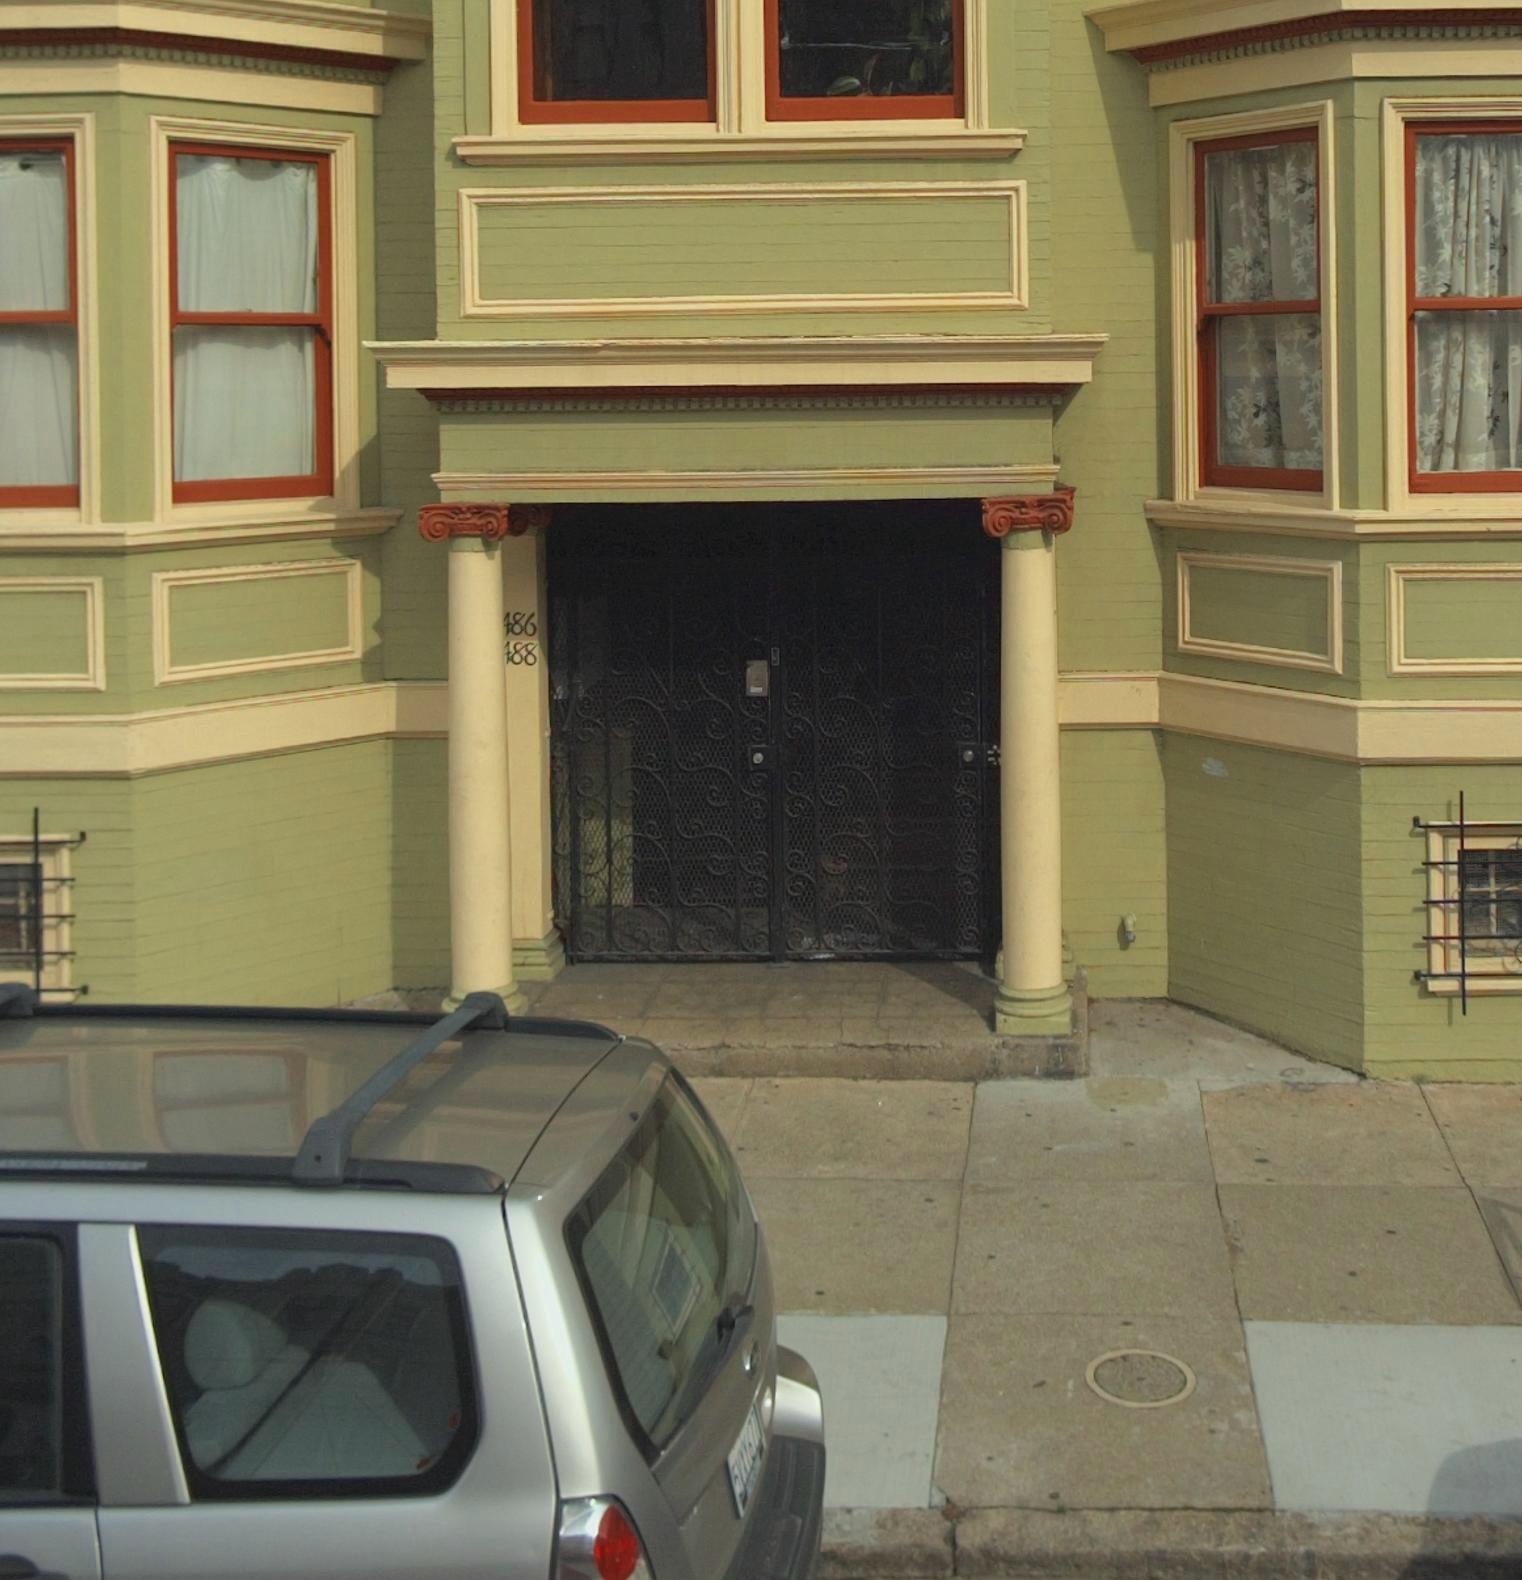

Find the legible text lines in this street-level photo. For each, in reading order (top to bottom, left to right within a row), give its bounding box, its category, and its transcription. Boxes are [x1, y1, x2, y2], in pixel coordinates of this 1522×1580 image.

[502, 610, 538, 637] StreetNumber: *86
[502, 639, 540, 667] StreetNumber: *88